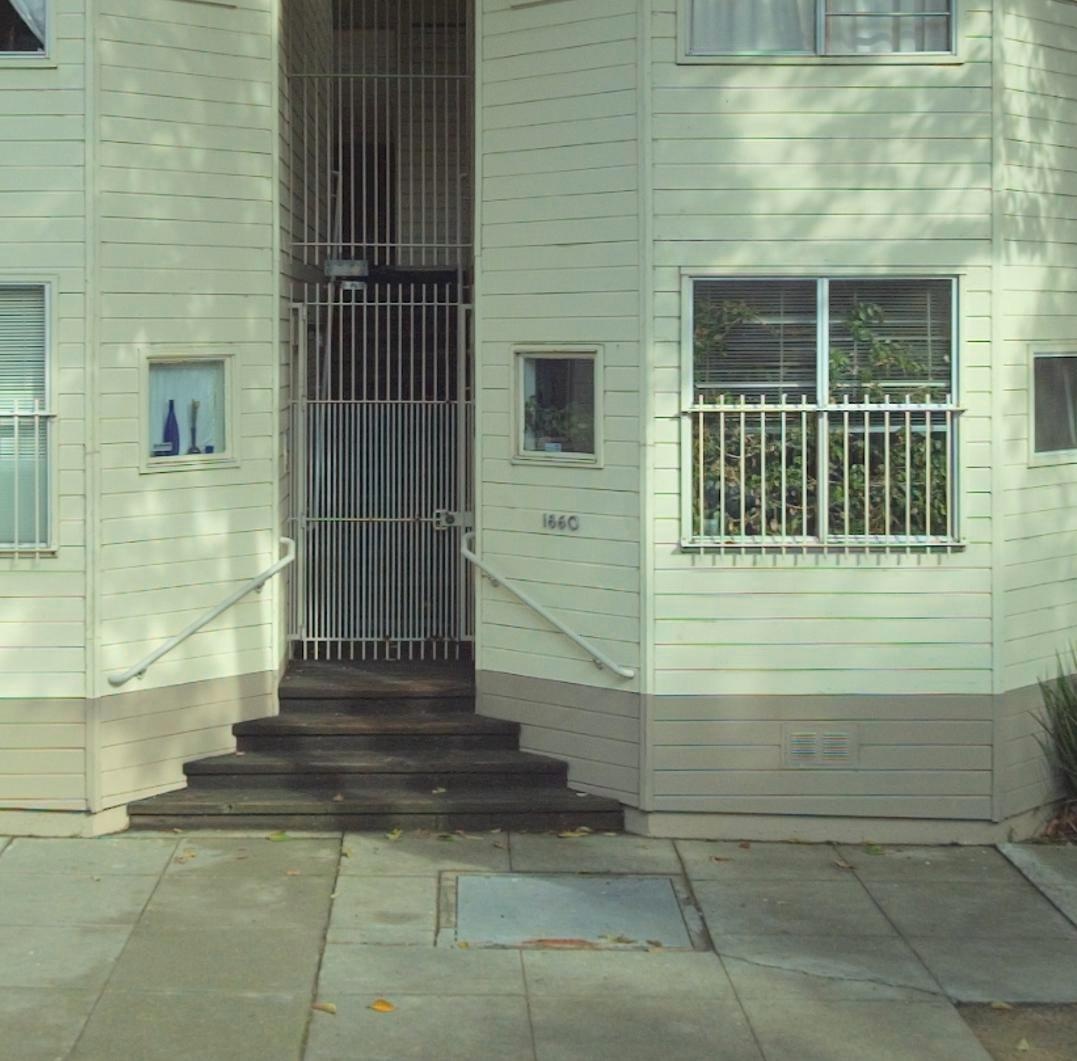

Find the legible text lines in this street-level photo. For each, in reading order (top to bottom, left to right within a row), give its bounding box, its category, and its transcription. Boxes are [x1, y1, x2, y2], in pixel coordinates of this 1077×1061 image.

[539, 510, 583, 534] StreetNumber: 1860